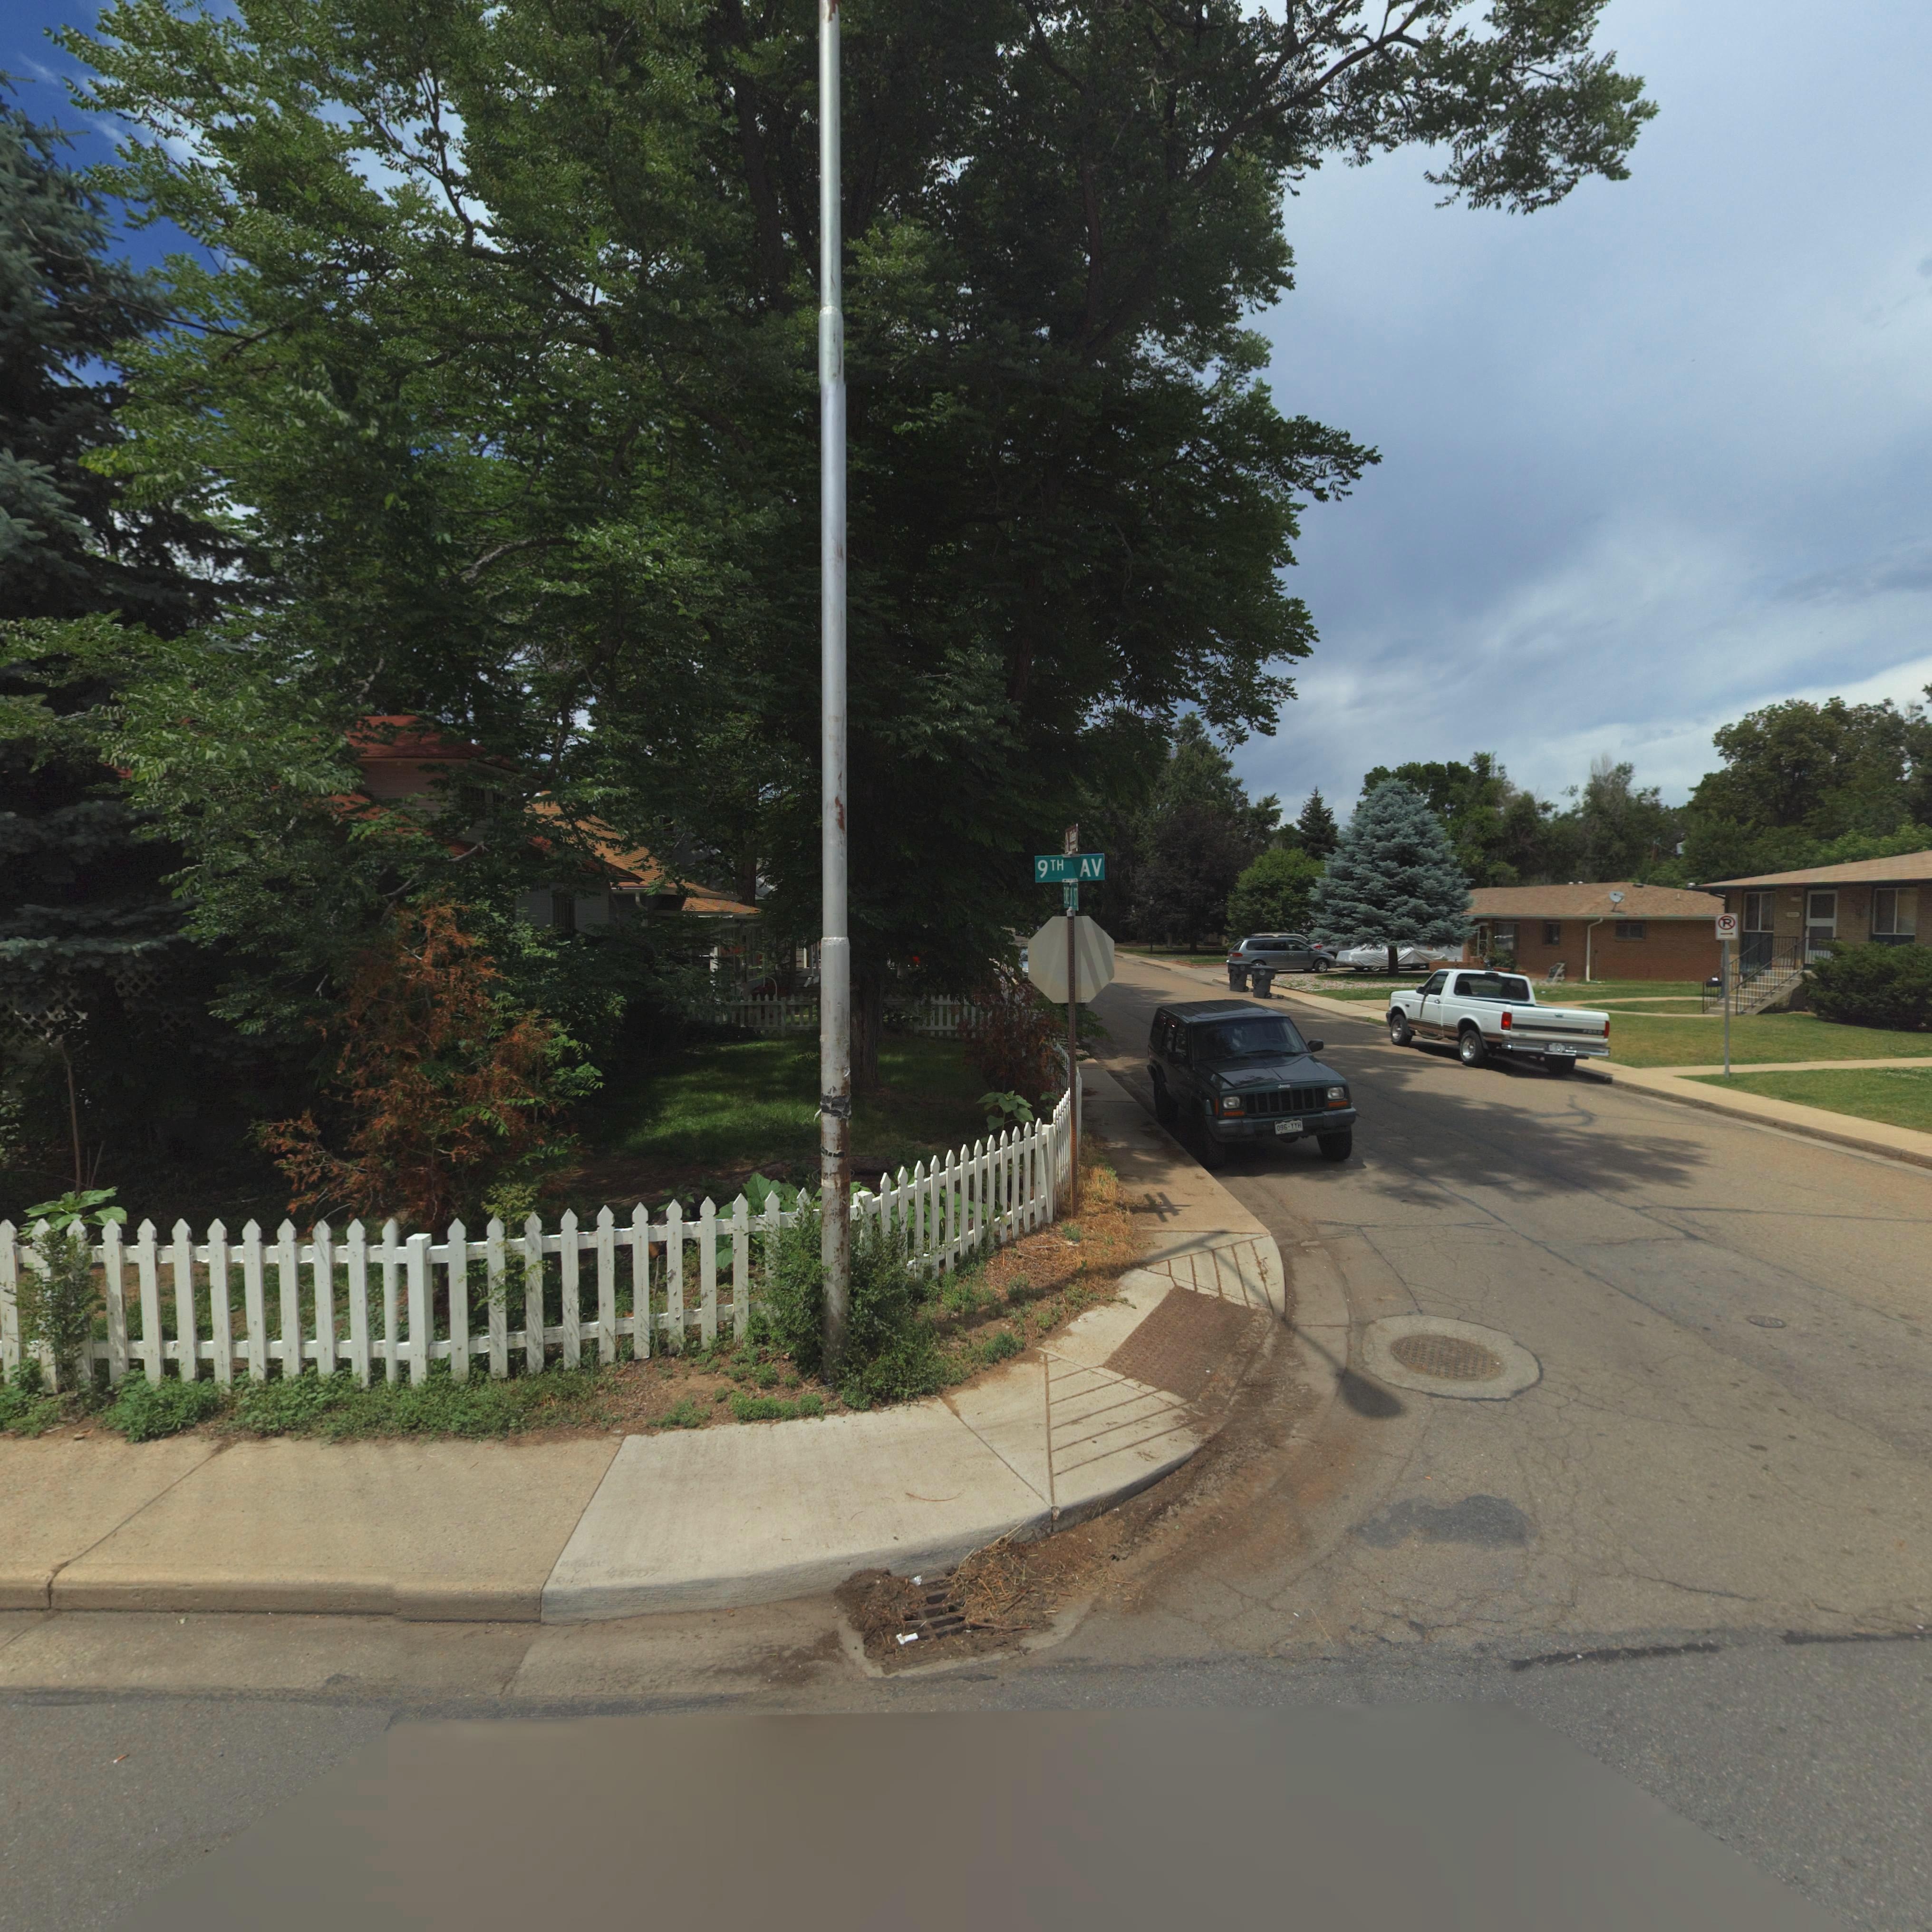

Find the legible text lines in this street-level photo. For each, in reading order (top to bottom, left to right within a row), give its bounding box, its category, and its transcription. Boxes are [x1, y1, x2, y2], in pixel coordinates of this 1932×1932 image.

[1038, 858, 1102, 878] StreetName: 9TH AV
[1063, 887, 1078, 907] StreetName: E*E** S*